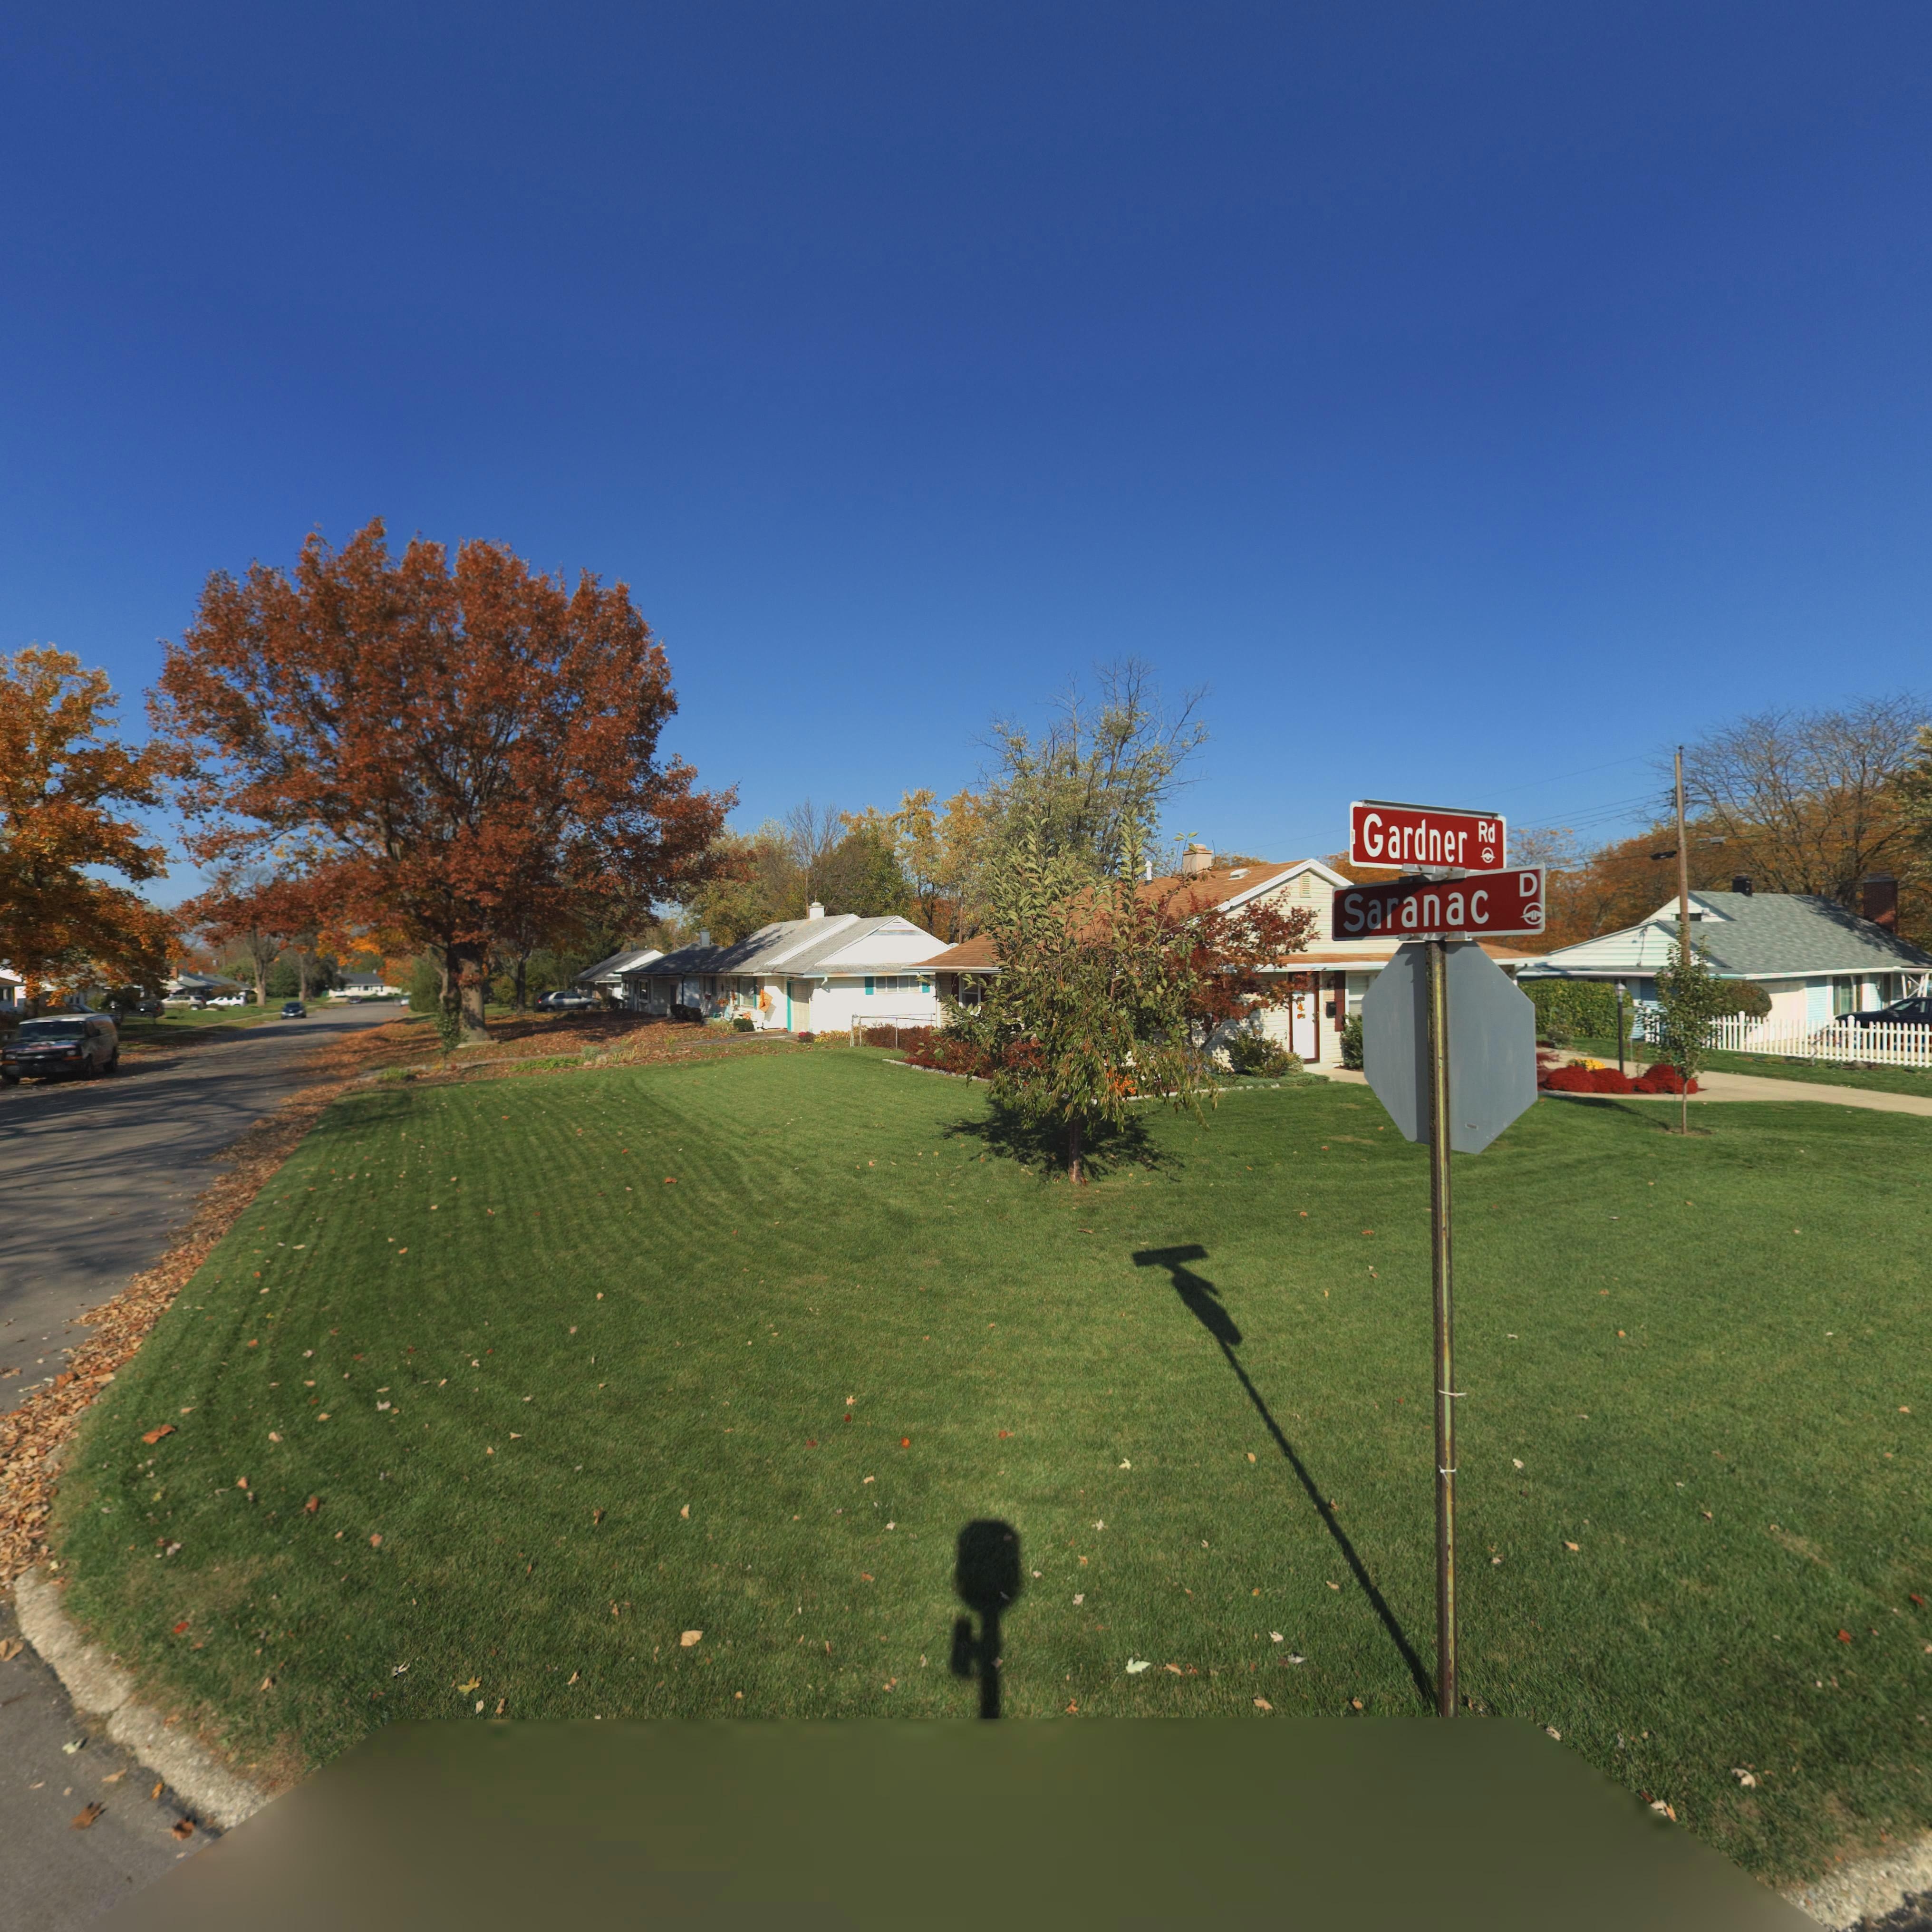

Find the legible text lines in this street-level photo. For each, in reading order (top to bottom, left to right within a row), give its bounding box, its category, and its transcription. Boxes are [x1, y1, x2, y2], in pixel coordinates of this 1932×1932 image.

[1362, 812, 1496, 864] StreetName: Gardner Rd
[1342, 872, 1538, 933] StreetName: Saranac D